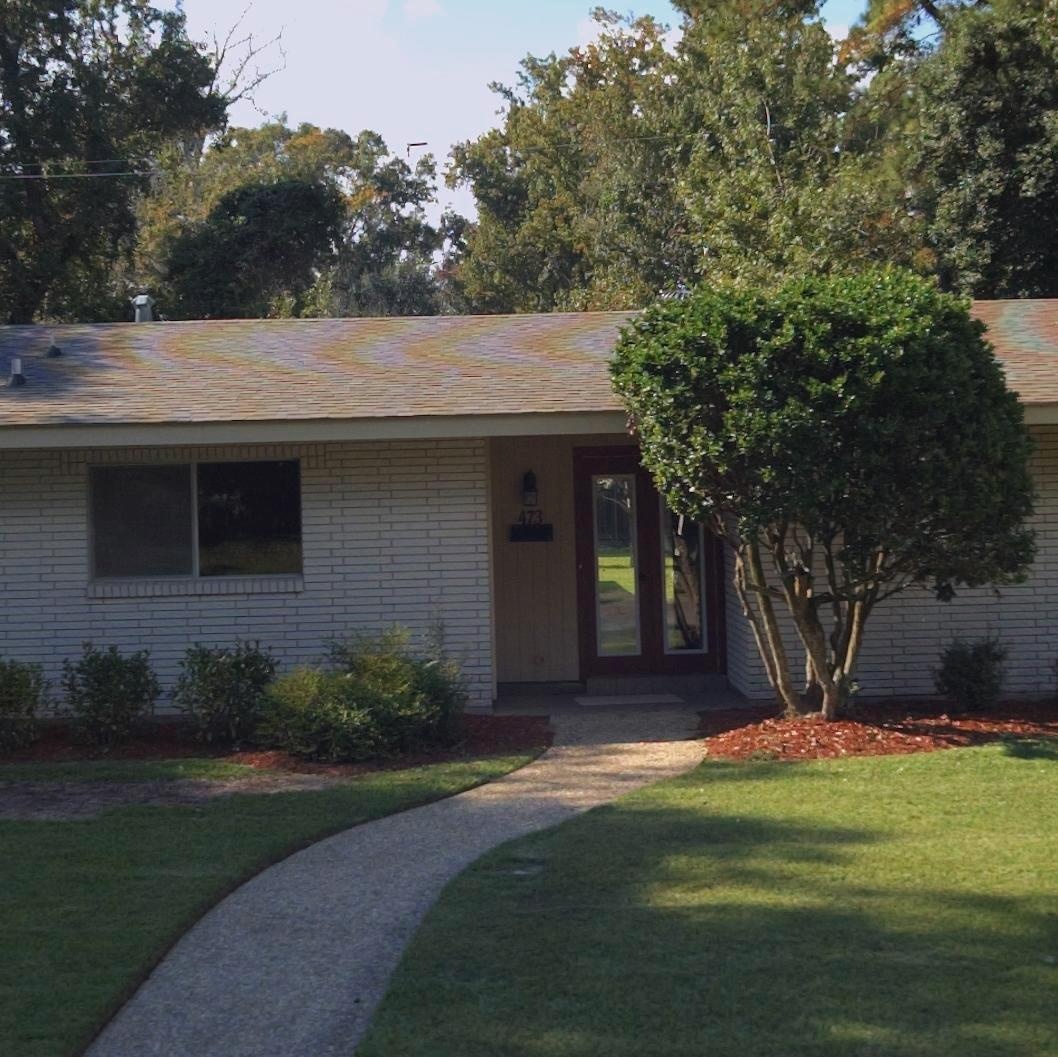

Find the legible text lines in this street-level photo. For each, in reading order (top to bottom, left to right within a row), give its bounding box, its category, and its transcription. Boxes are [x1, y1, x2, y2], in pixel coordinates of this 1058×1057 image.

[517, 510, 543, 525] StreetNumber: 473